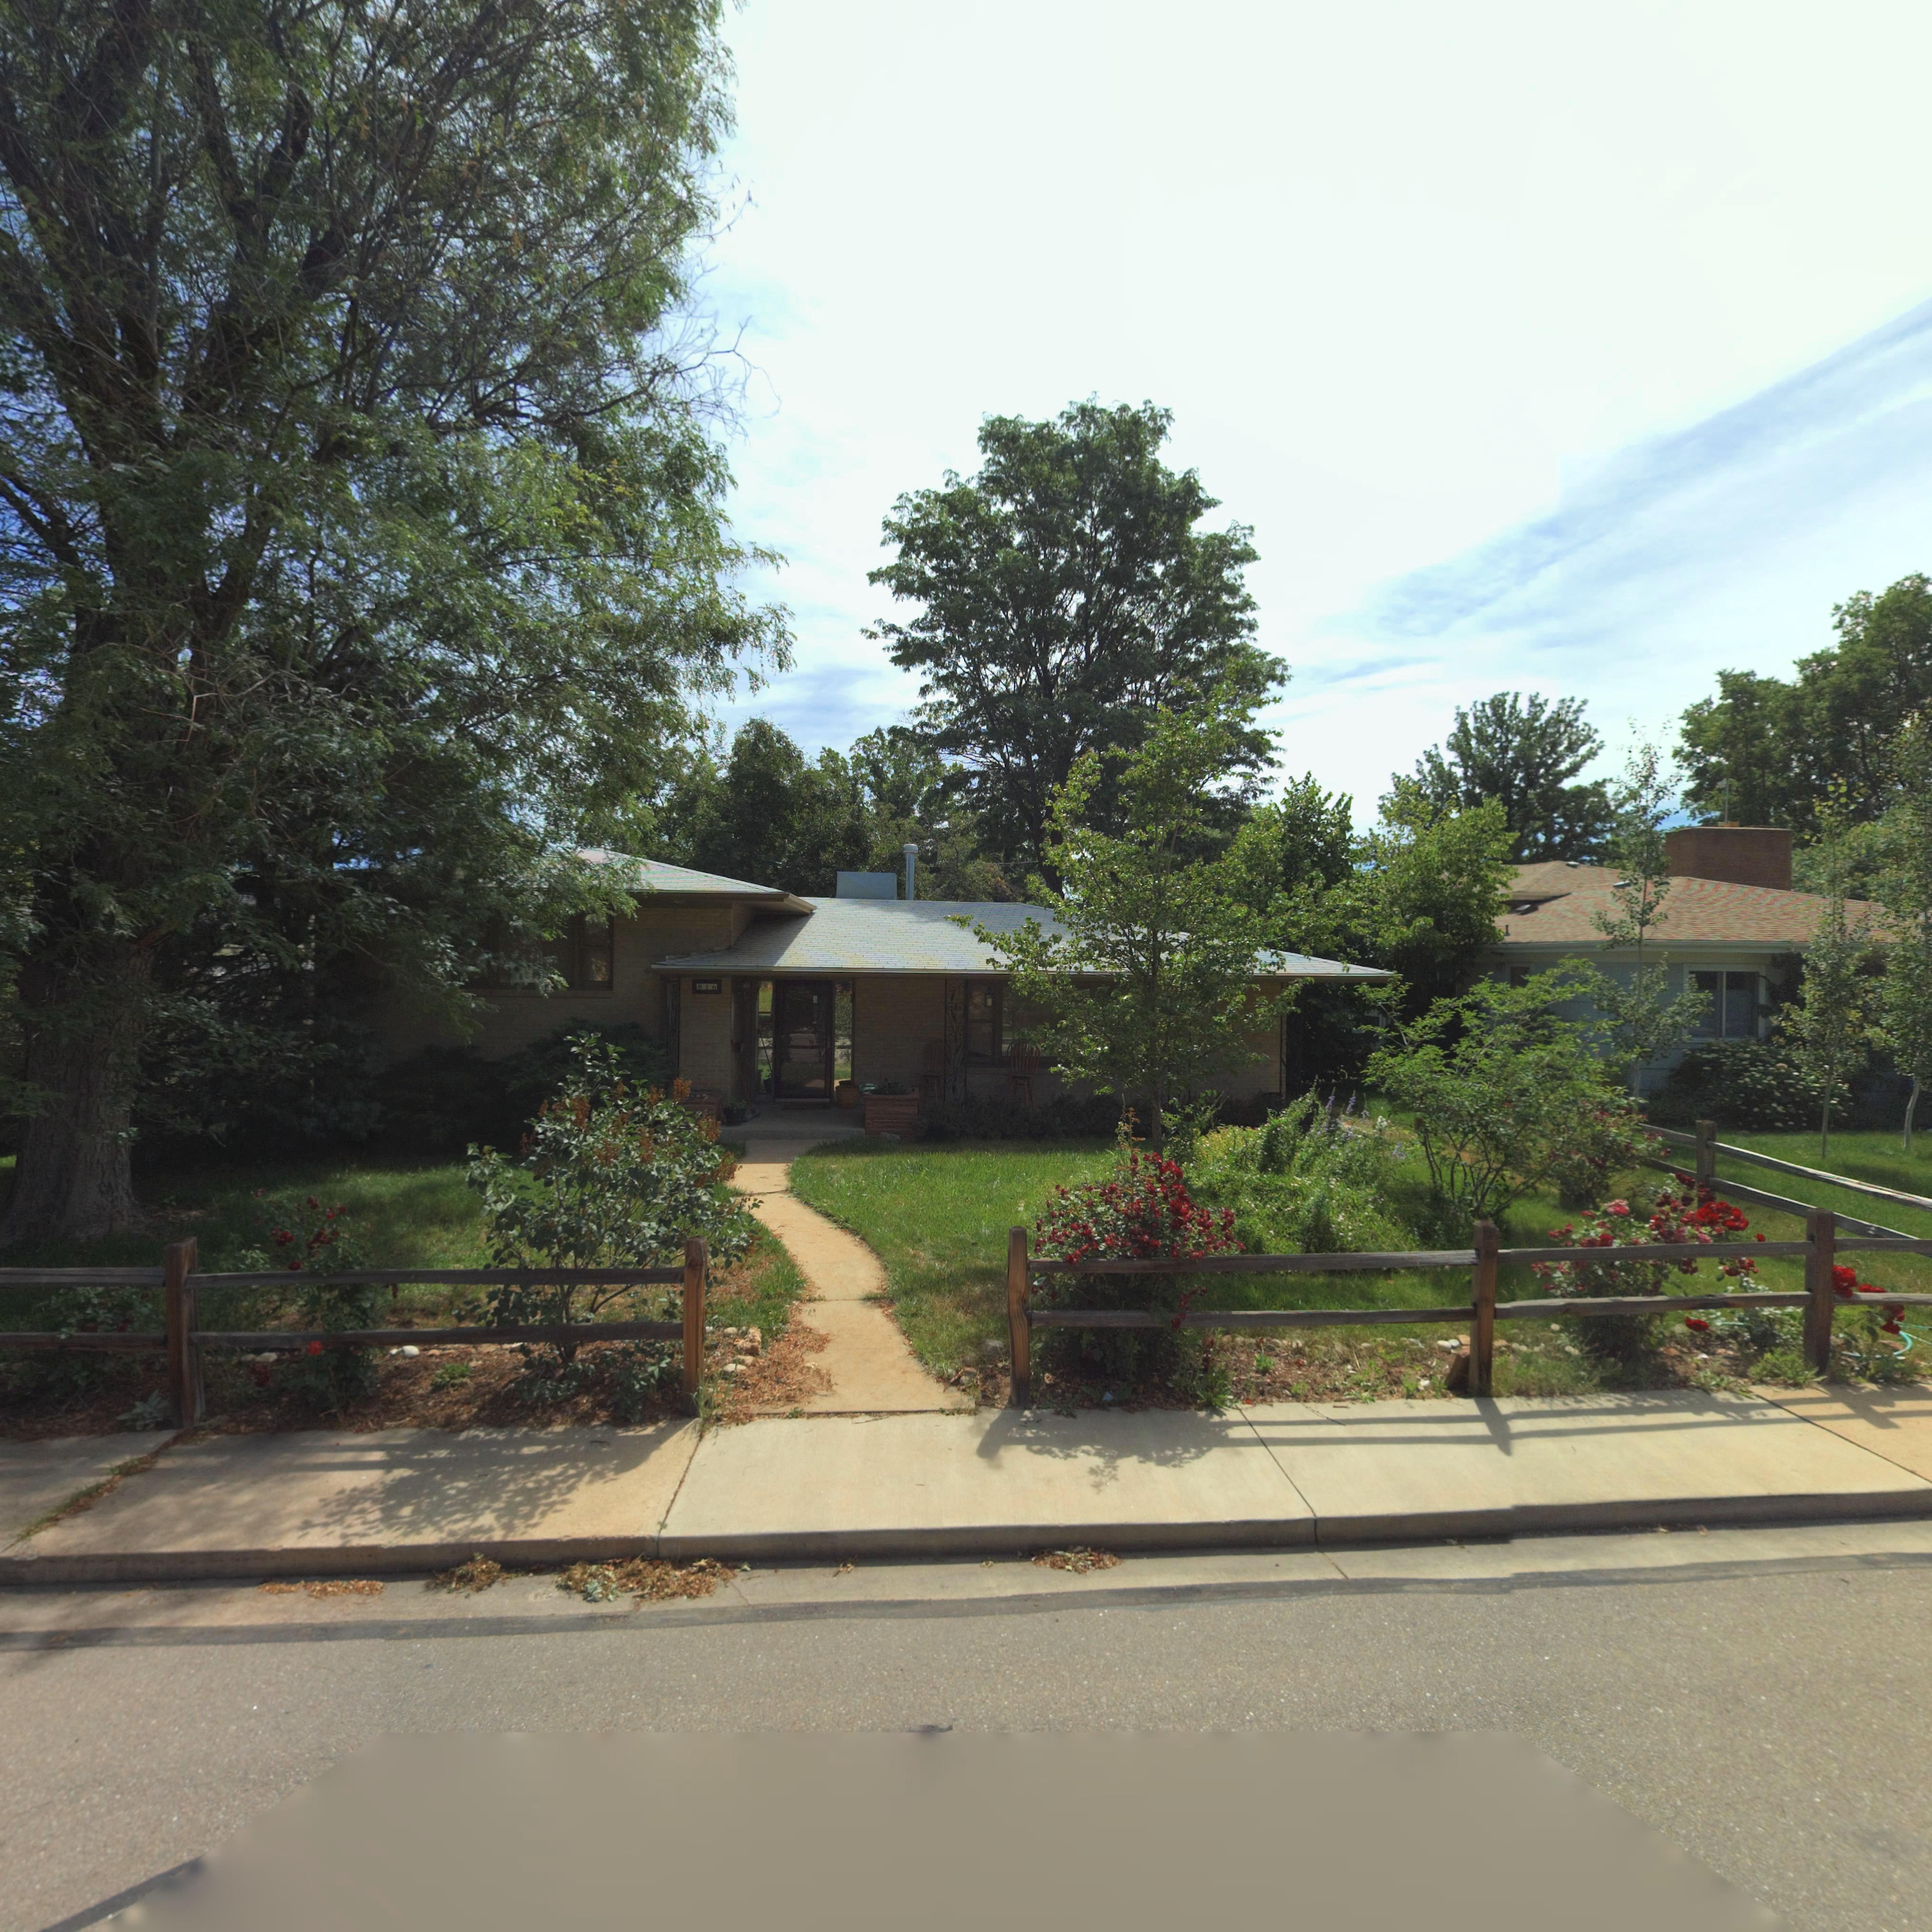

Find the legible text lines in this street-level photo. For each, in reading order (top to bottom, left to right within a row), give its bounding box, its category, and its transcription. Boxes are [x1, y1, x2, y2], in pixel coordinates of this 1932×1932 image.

[696, 984, 716, 990] StreetNumber: 816